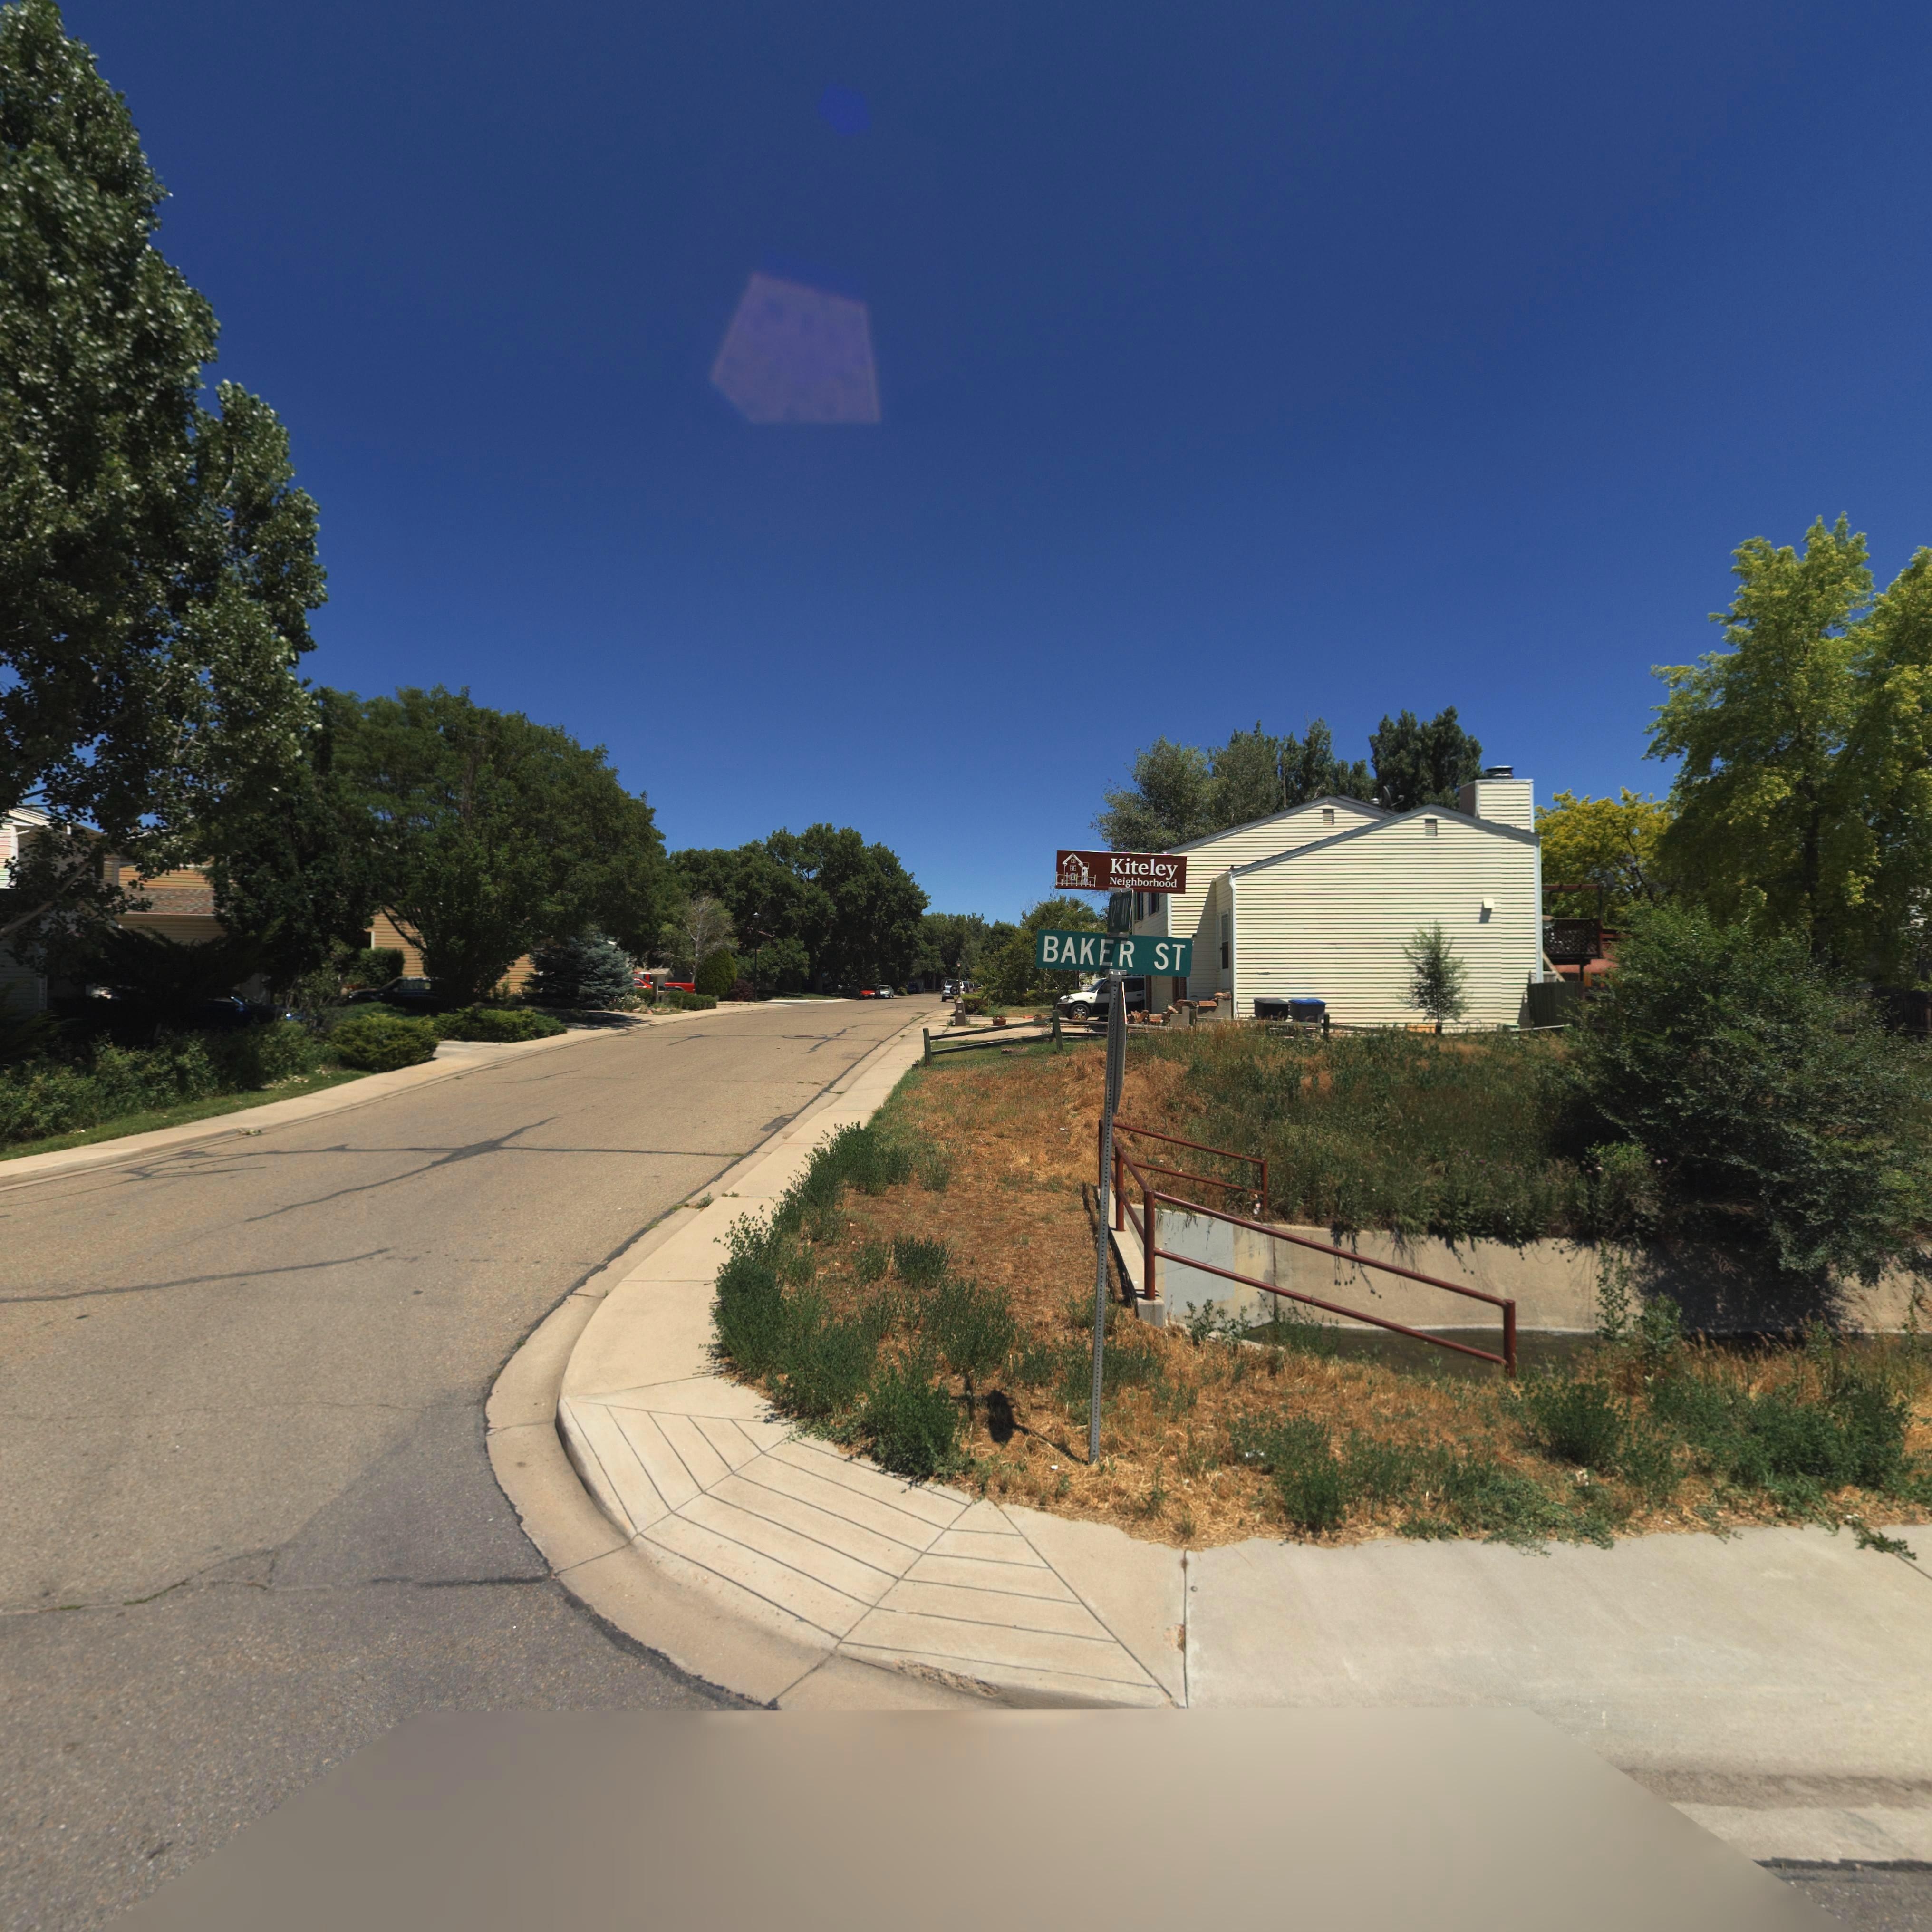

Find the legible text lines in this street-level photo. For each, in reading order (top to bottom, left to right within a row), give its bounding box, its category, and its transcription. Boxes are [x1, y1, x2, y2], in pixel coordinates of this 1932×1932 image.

[1042, 934, 1186, 971] StreetName: BAKER ST